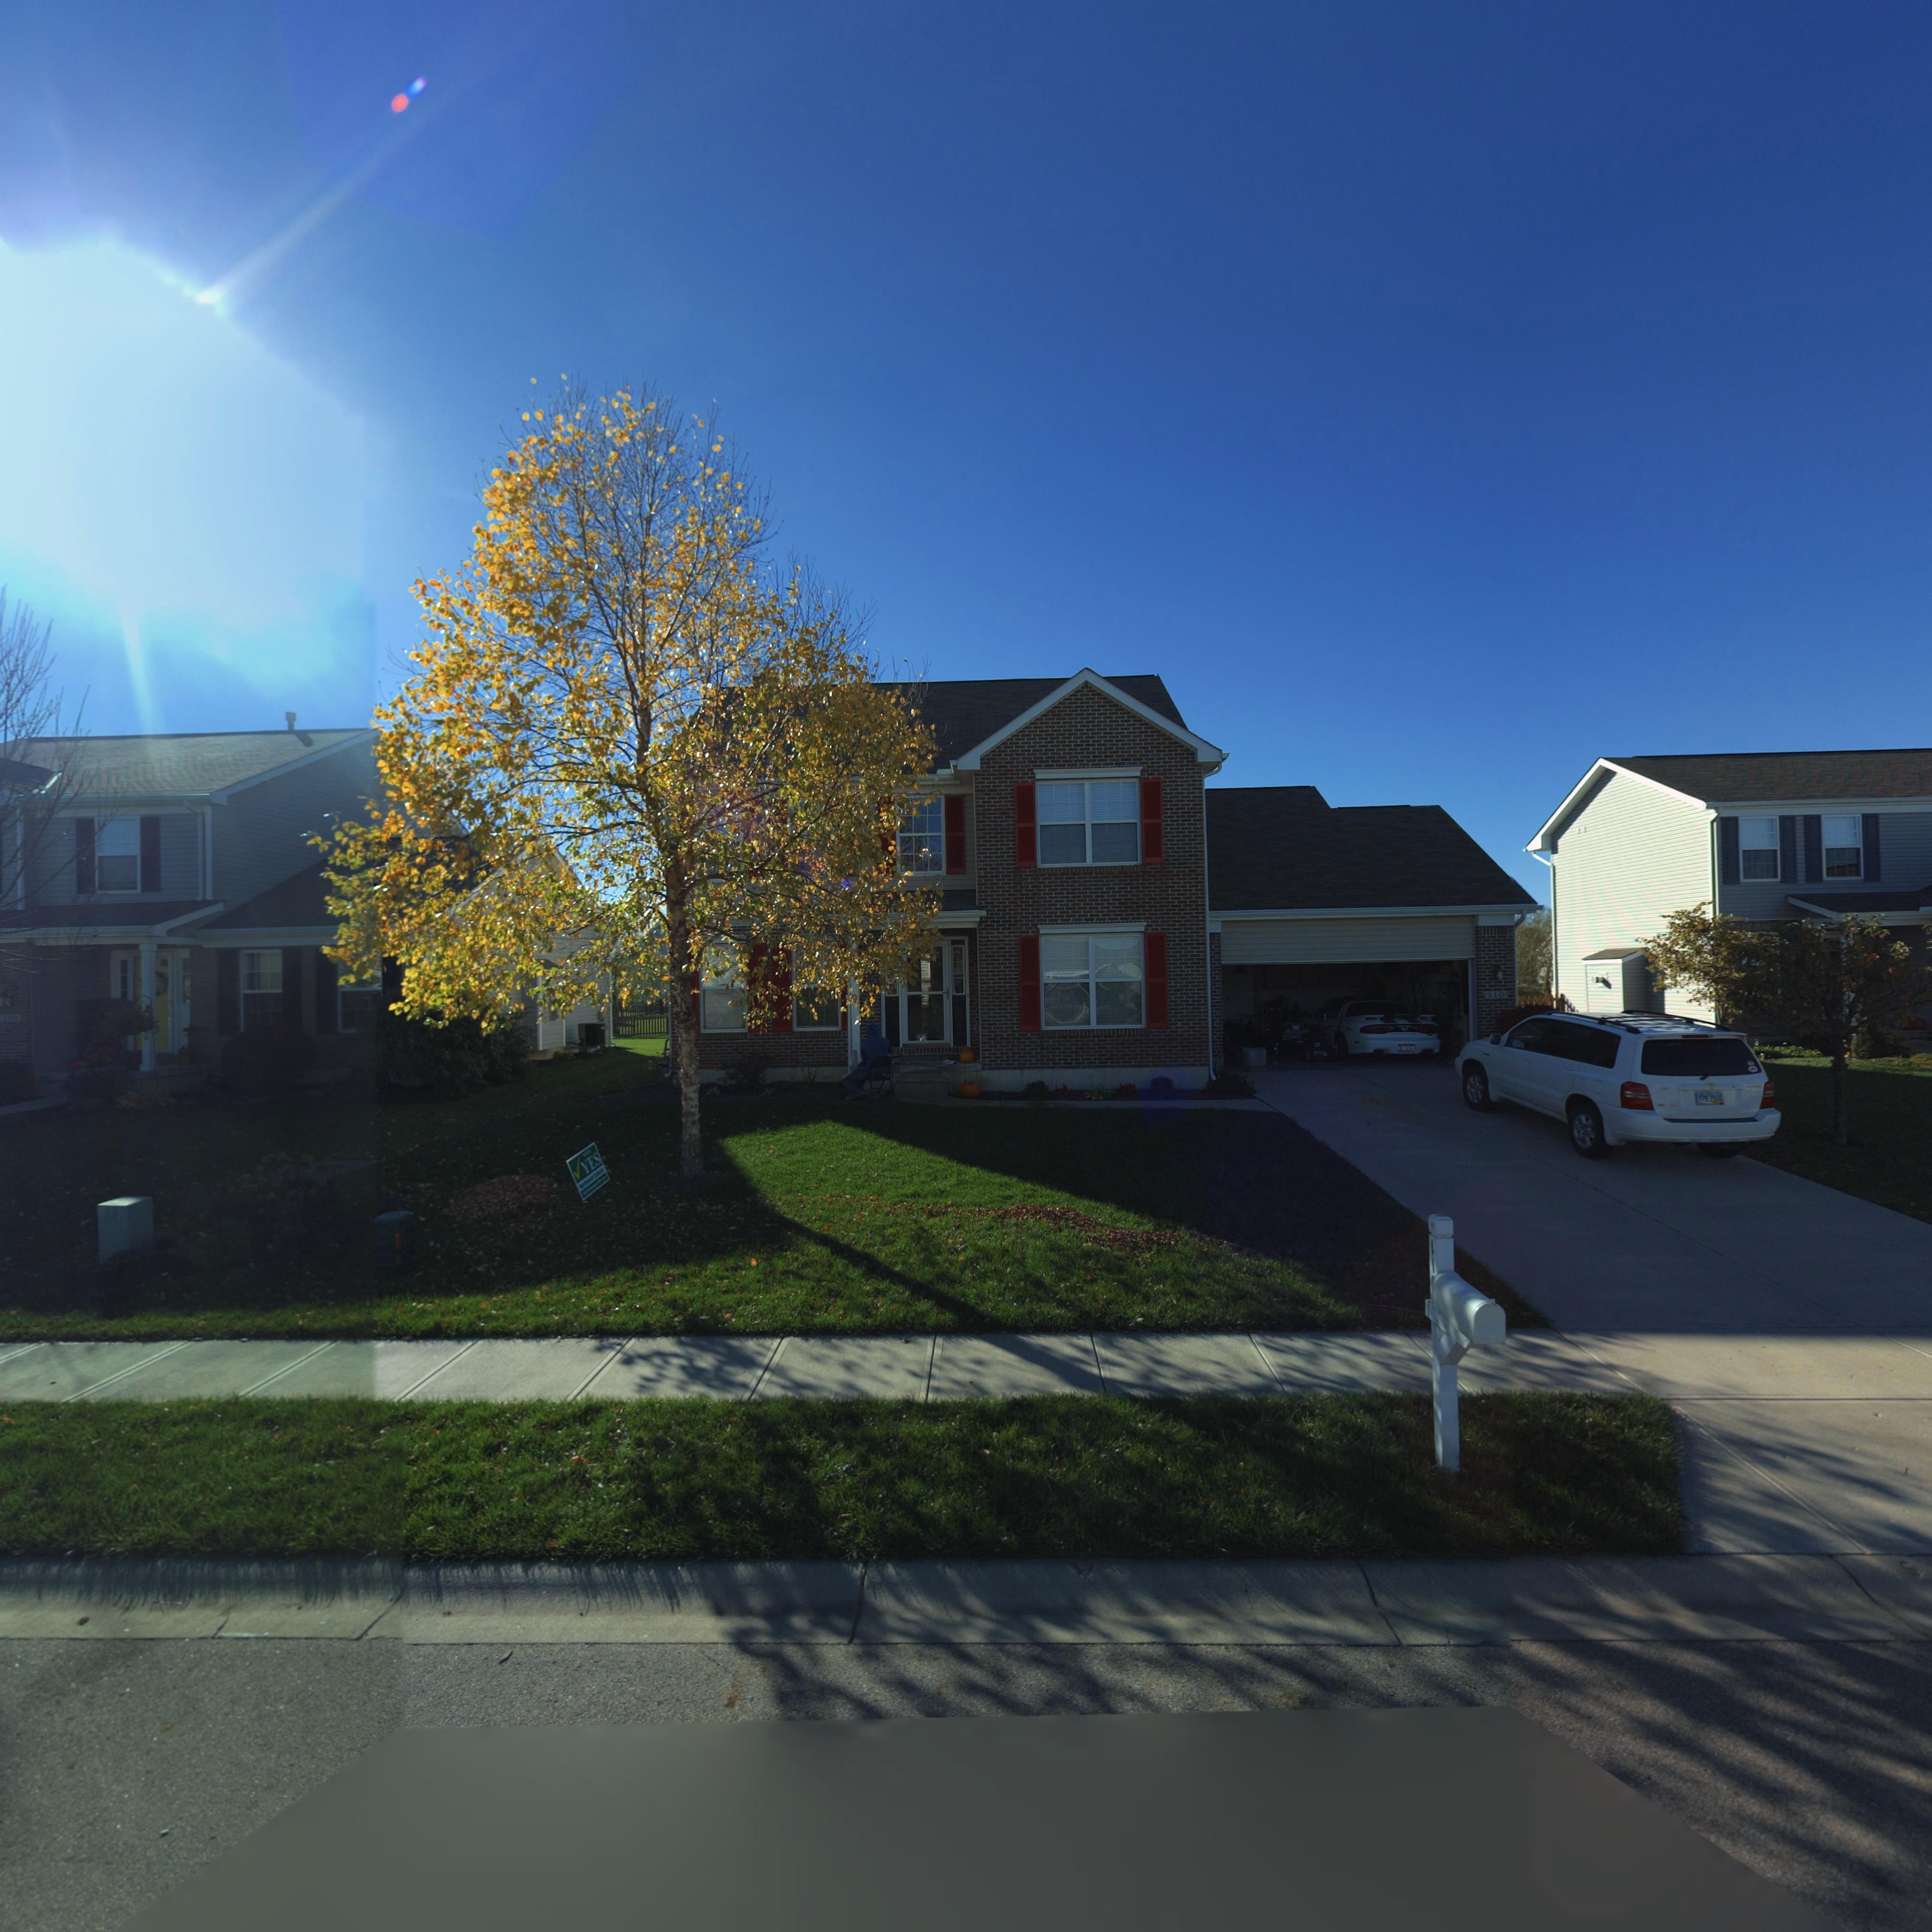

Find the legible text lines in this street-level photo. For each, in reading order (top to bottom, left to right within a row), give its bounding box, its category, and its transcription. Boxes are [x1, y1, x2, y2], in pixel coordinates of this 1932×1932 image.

[1488, 991, 1505, 999] StreetNumber: 110